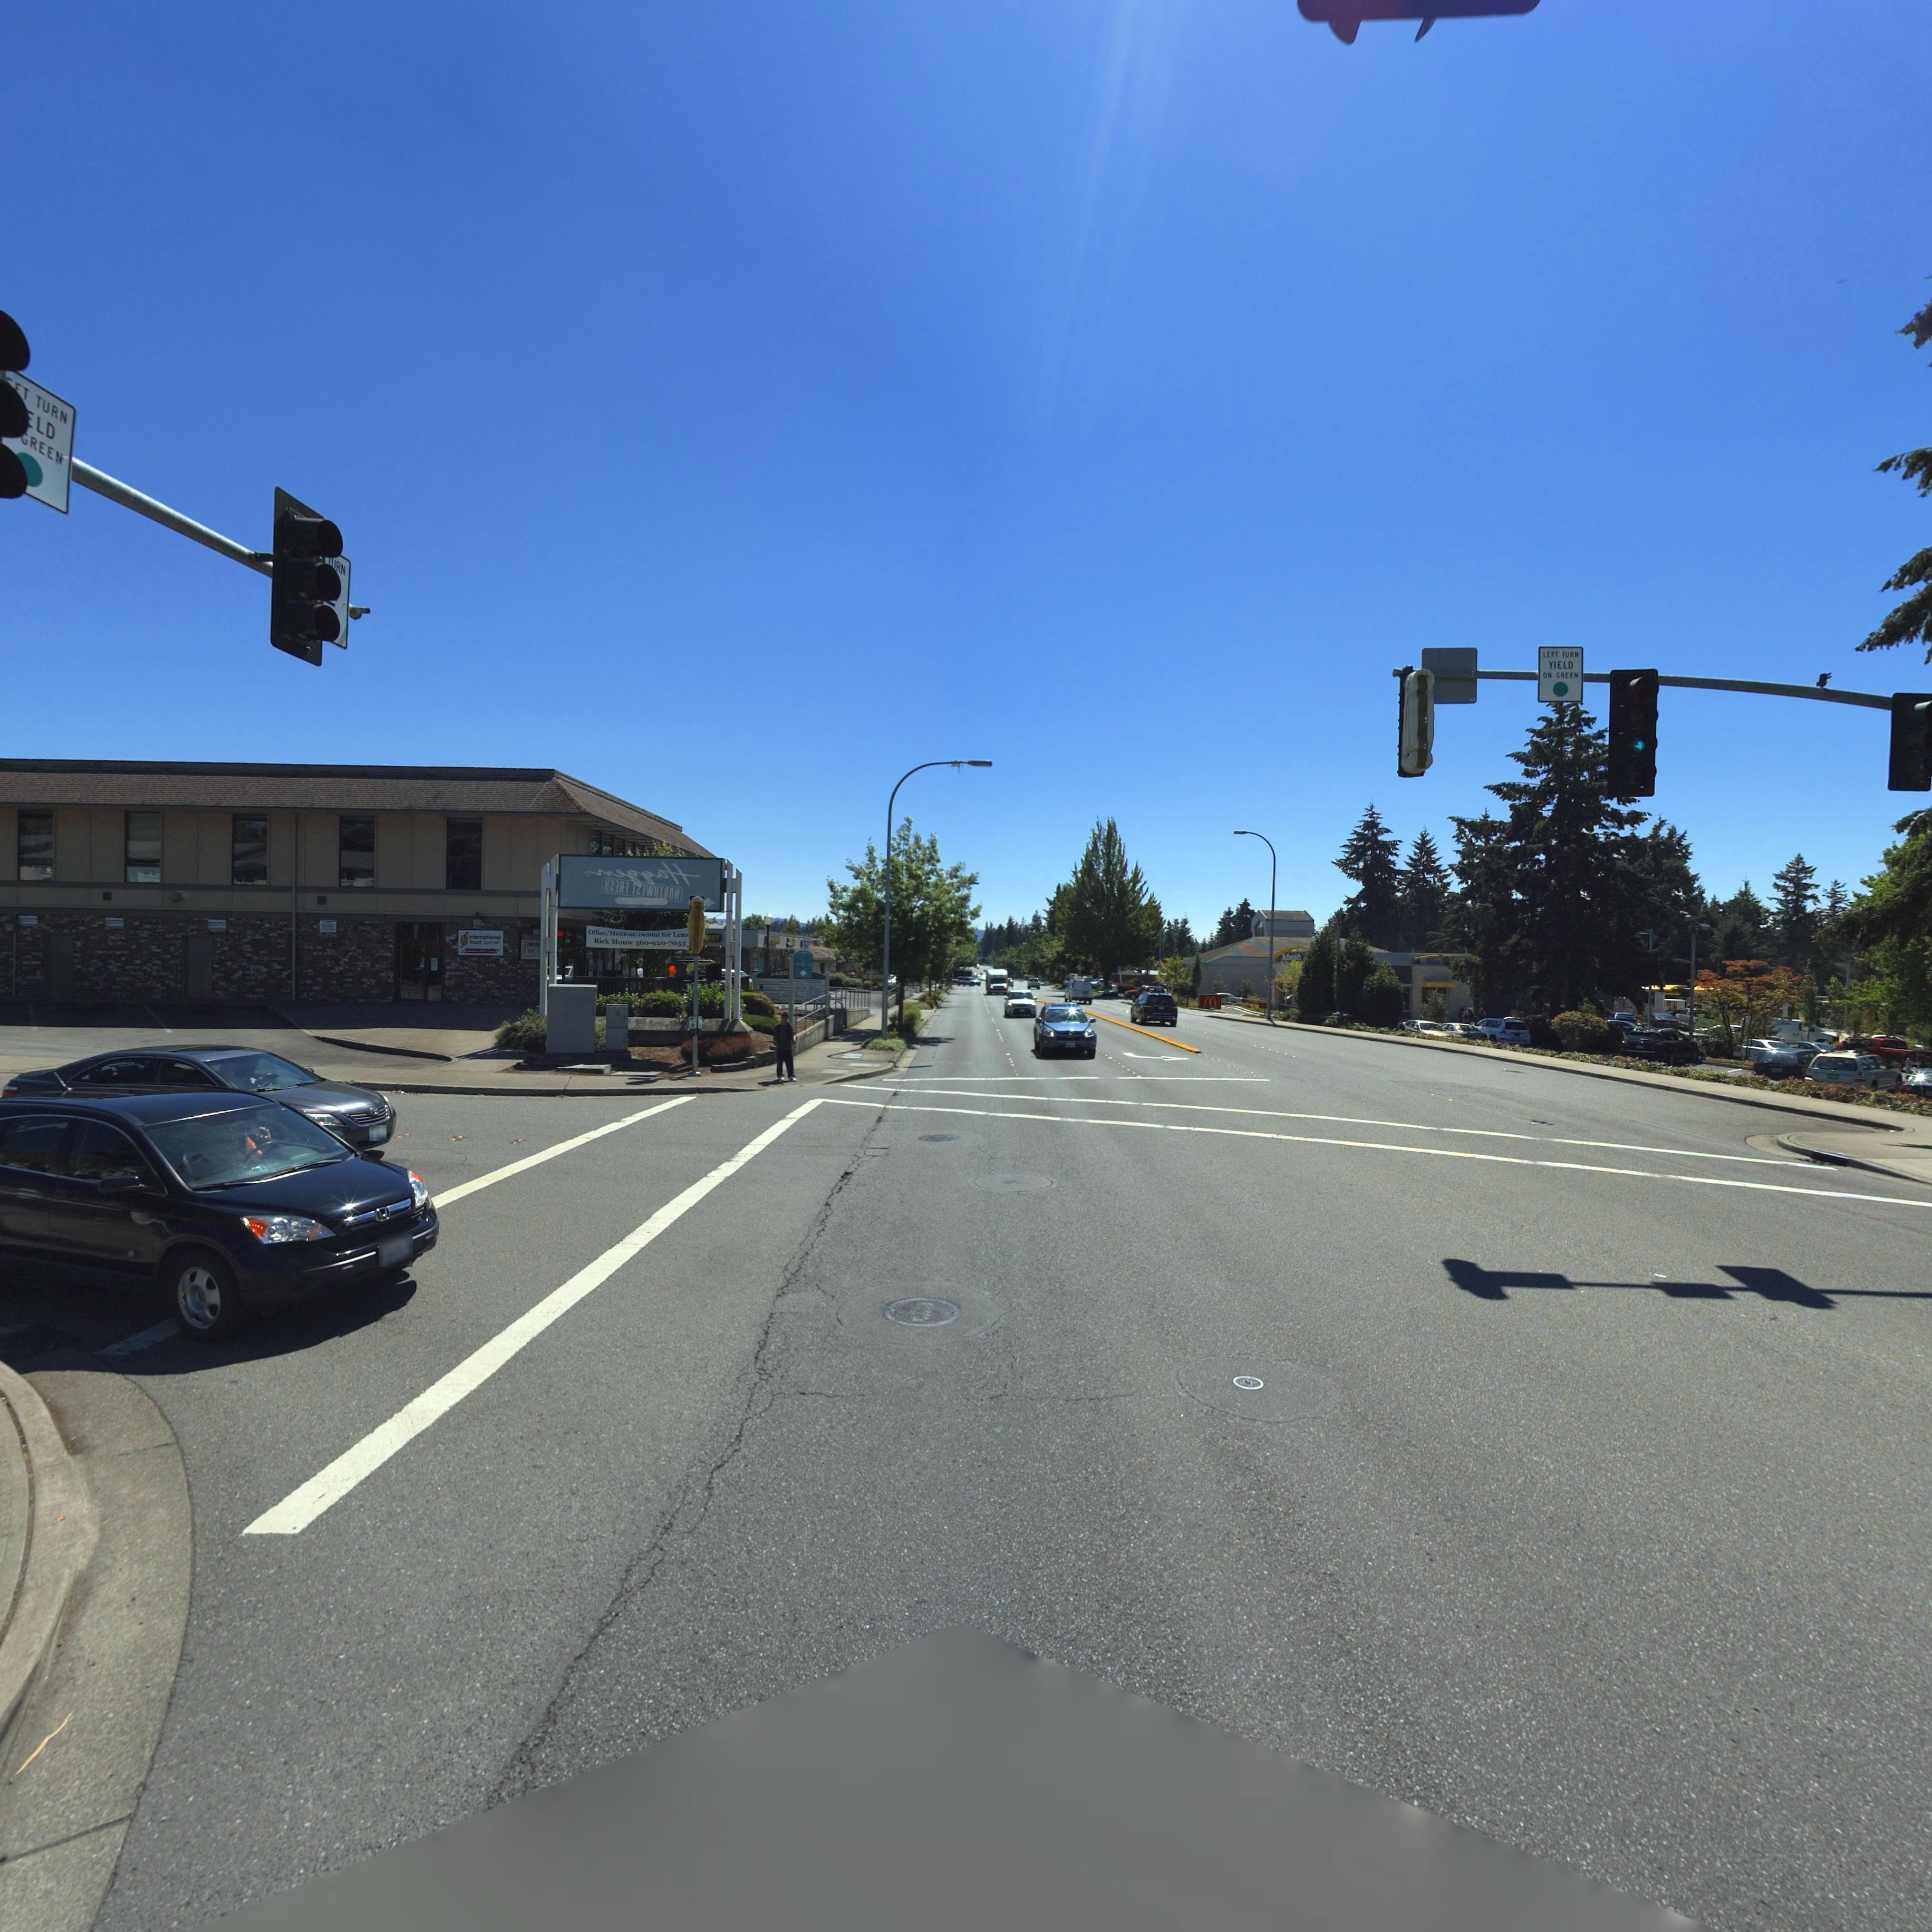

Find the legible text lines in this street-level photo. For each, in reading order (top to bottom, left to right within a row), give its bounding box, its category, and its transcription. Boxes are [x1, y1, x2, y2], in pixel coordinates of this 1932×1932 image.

[460, 931, 470, 948] BusinessName: IFC
[470, 939, 499, 944] BusinessName: food corner
[469, 934, 501, 939] BusinessName: international
[771, 970, 788, 976] StreetNumber: 1420